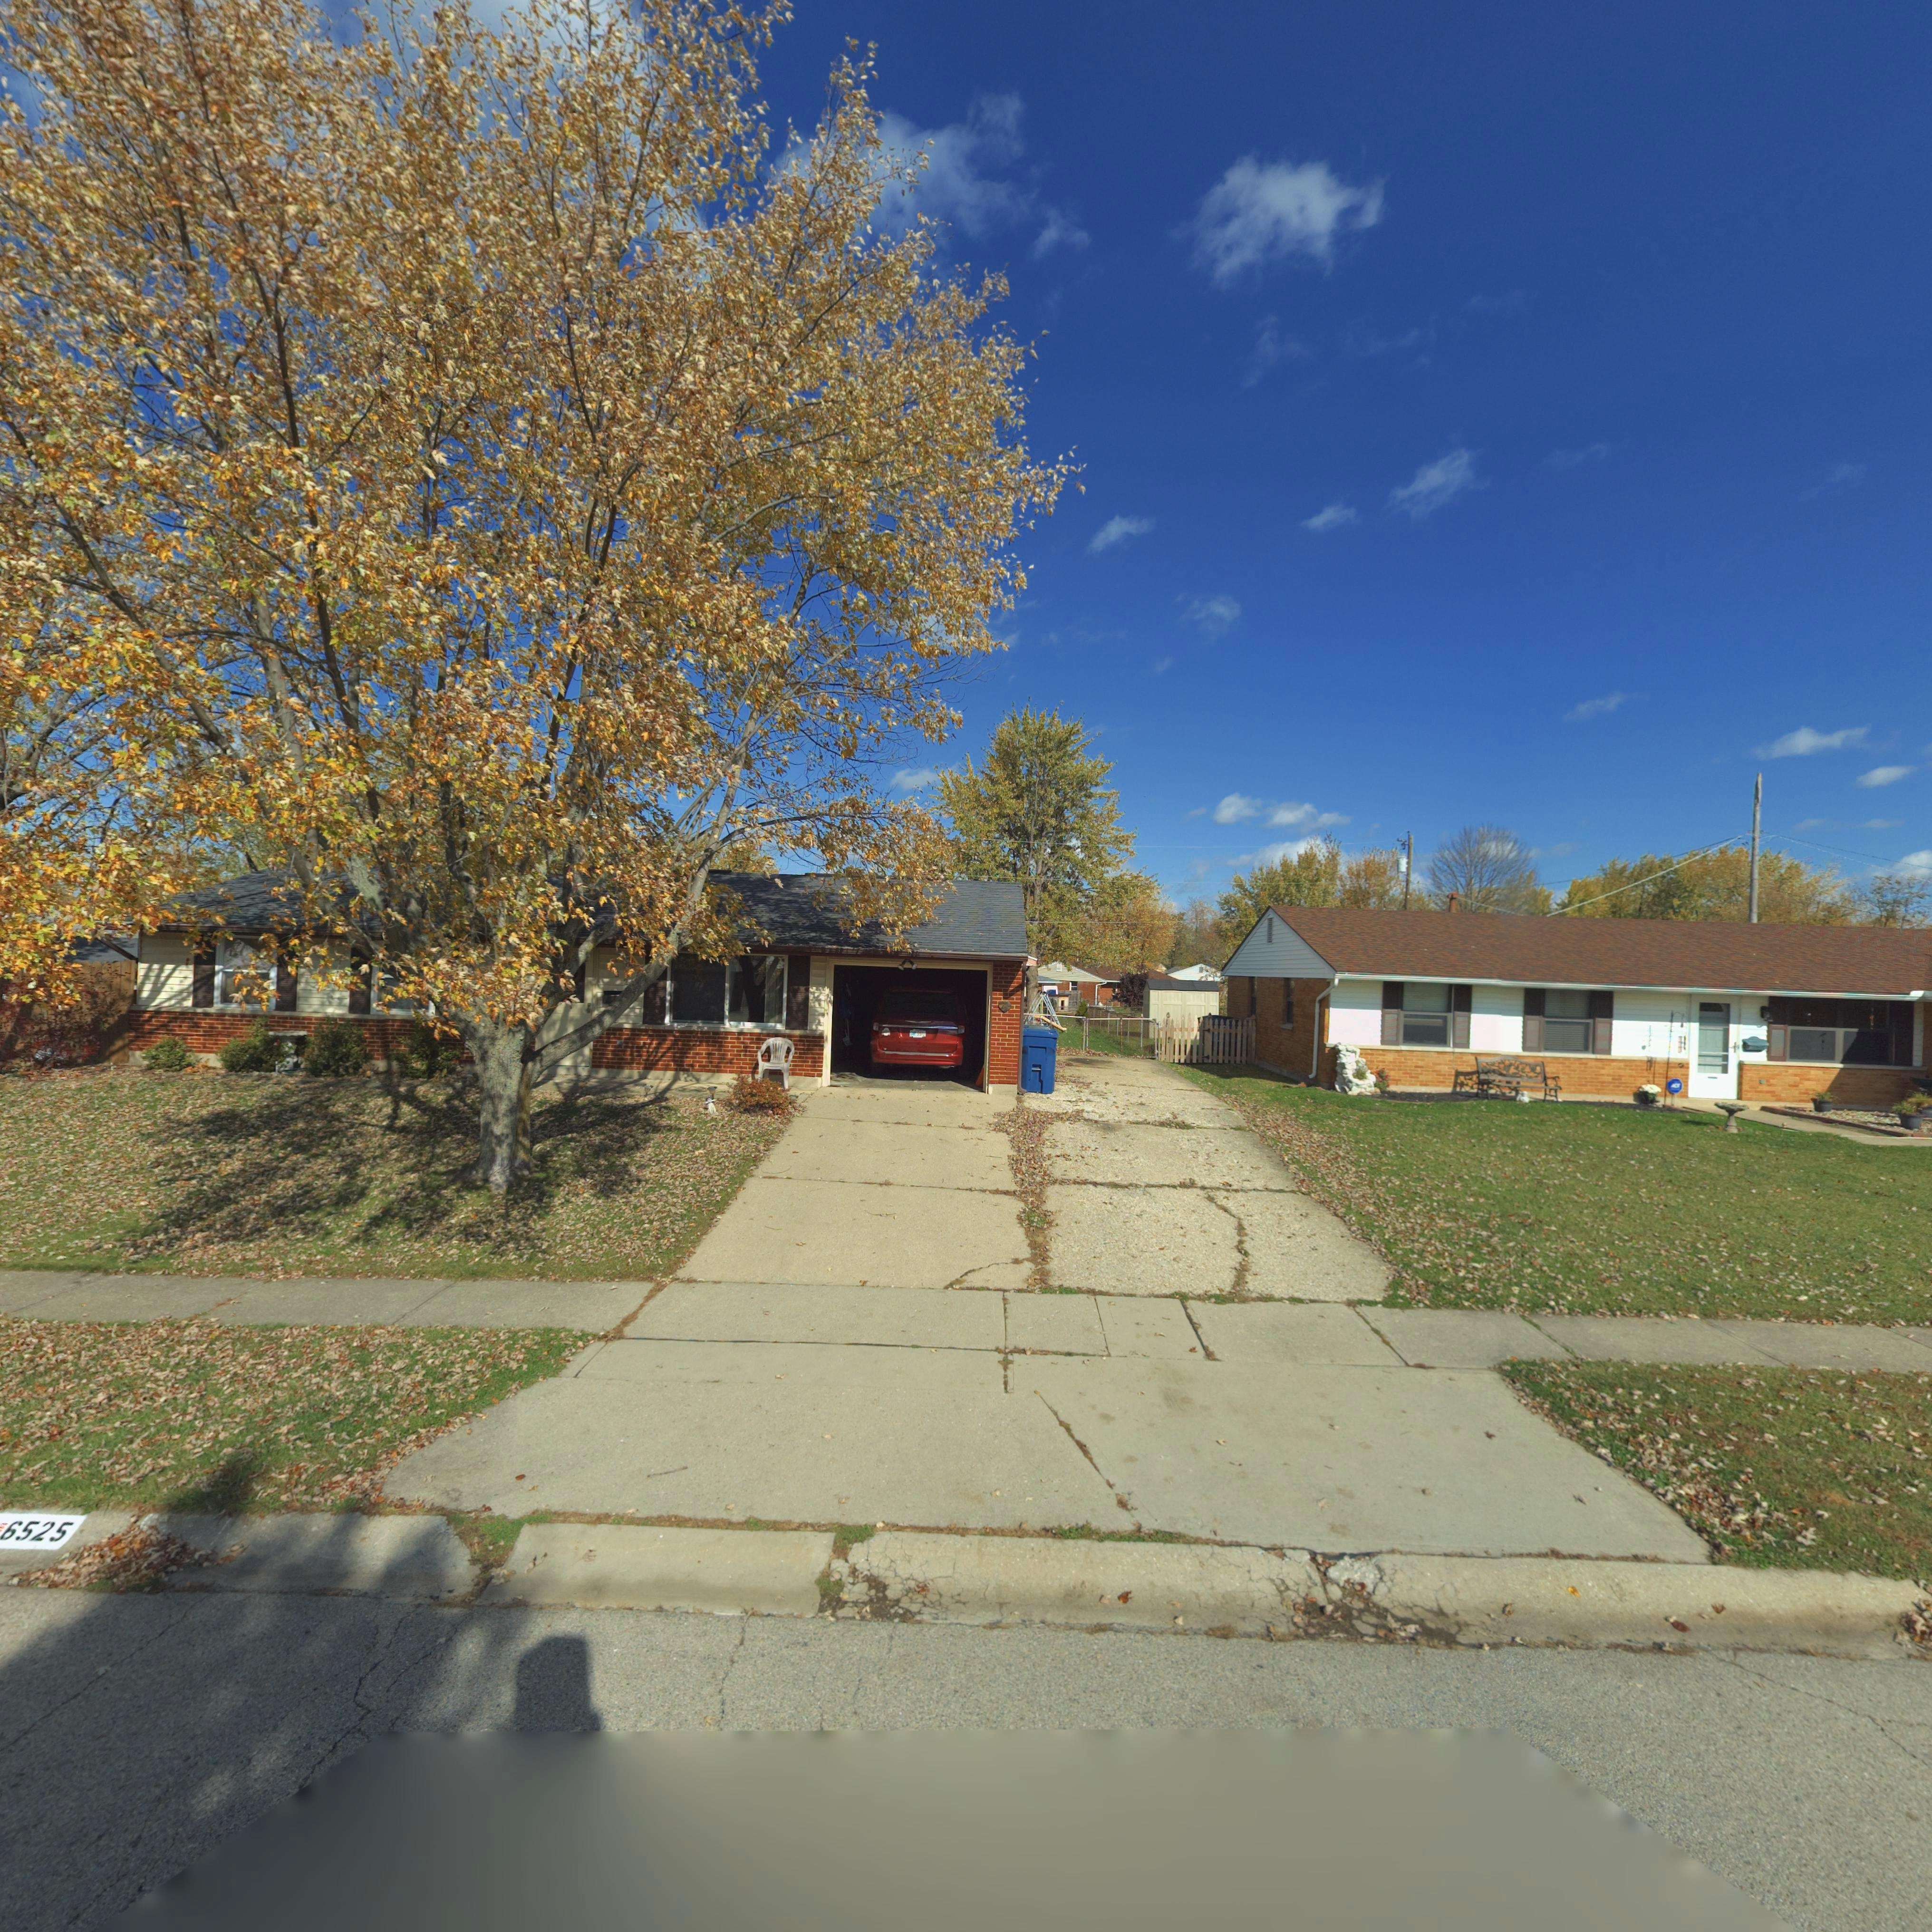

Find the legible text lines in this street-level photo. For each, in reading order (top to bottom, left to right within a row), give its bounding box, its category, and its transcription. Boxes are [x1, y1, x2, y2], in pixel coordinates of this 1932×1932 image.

[623, 978, 628, 985] StreetNumber: 2
[0, 1520, 75, 1543] StreetNumber: 6525